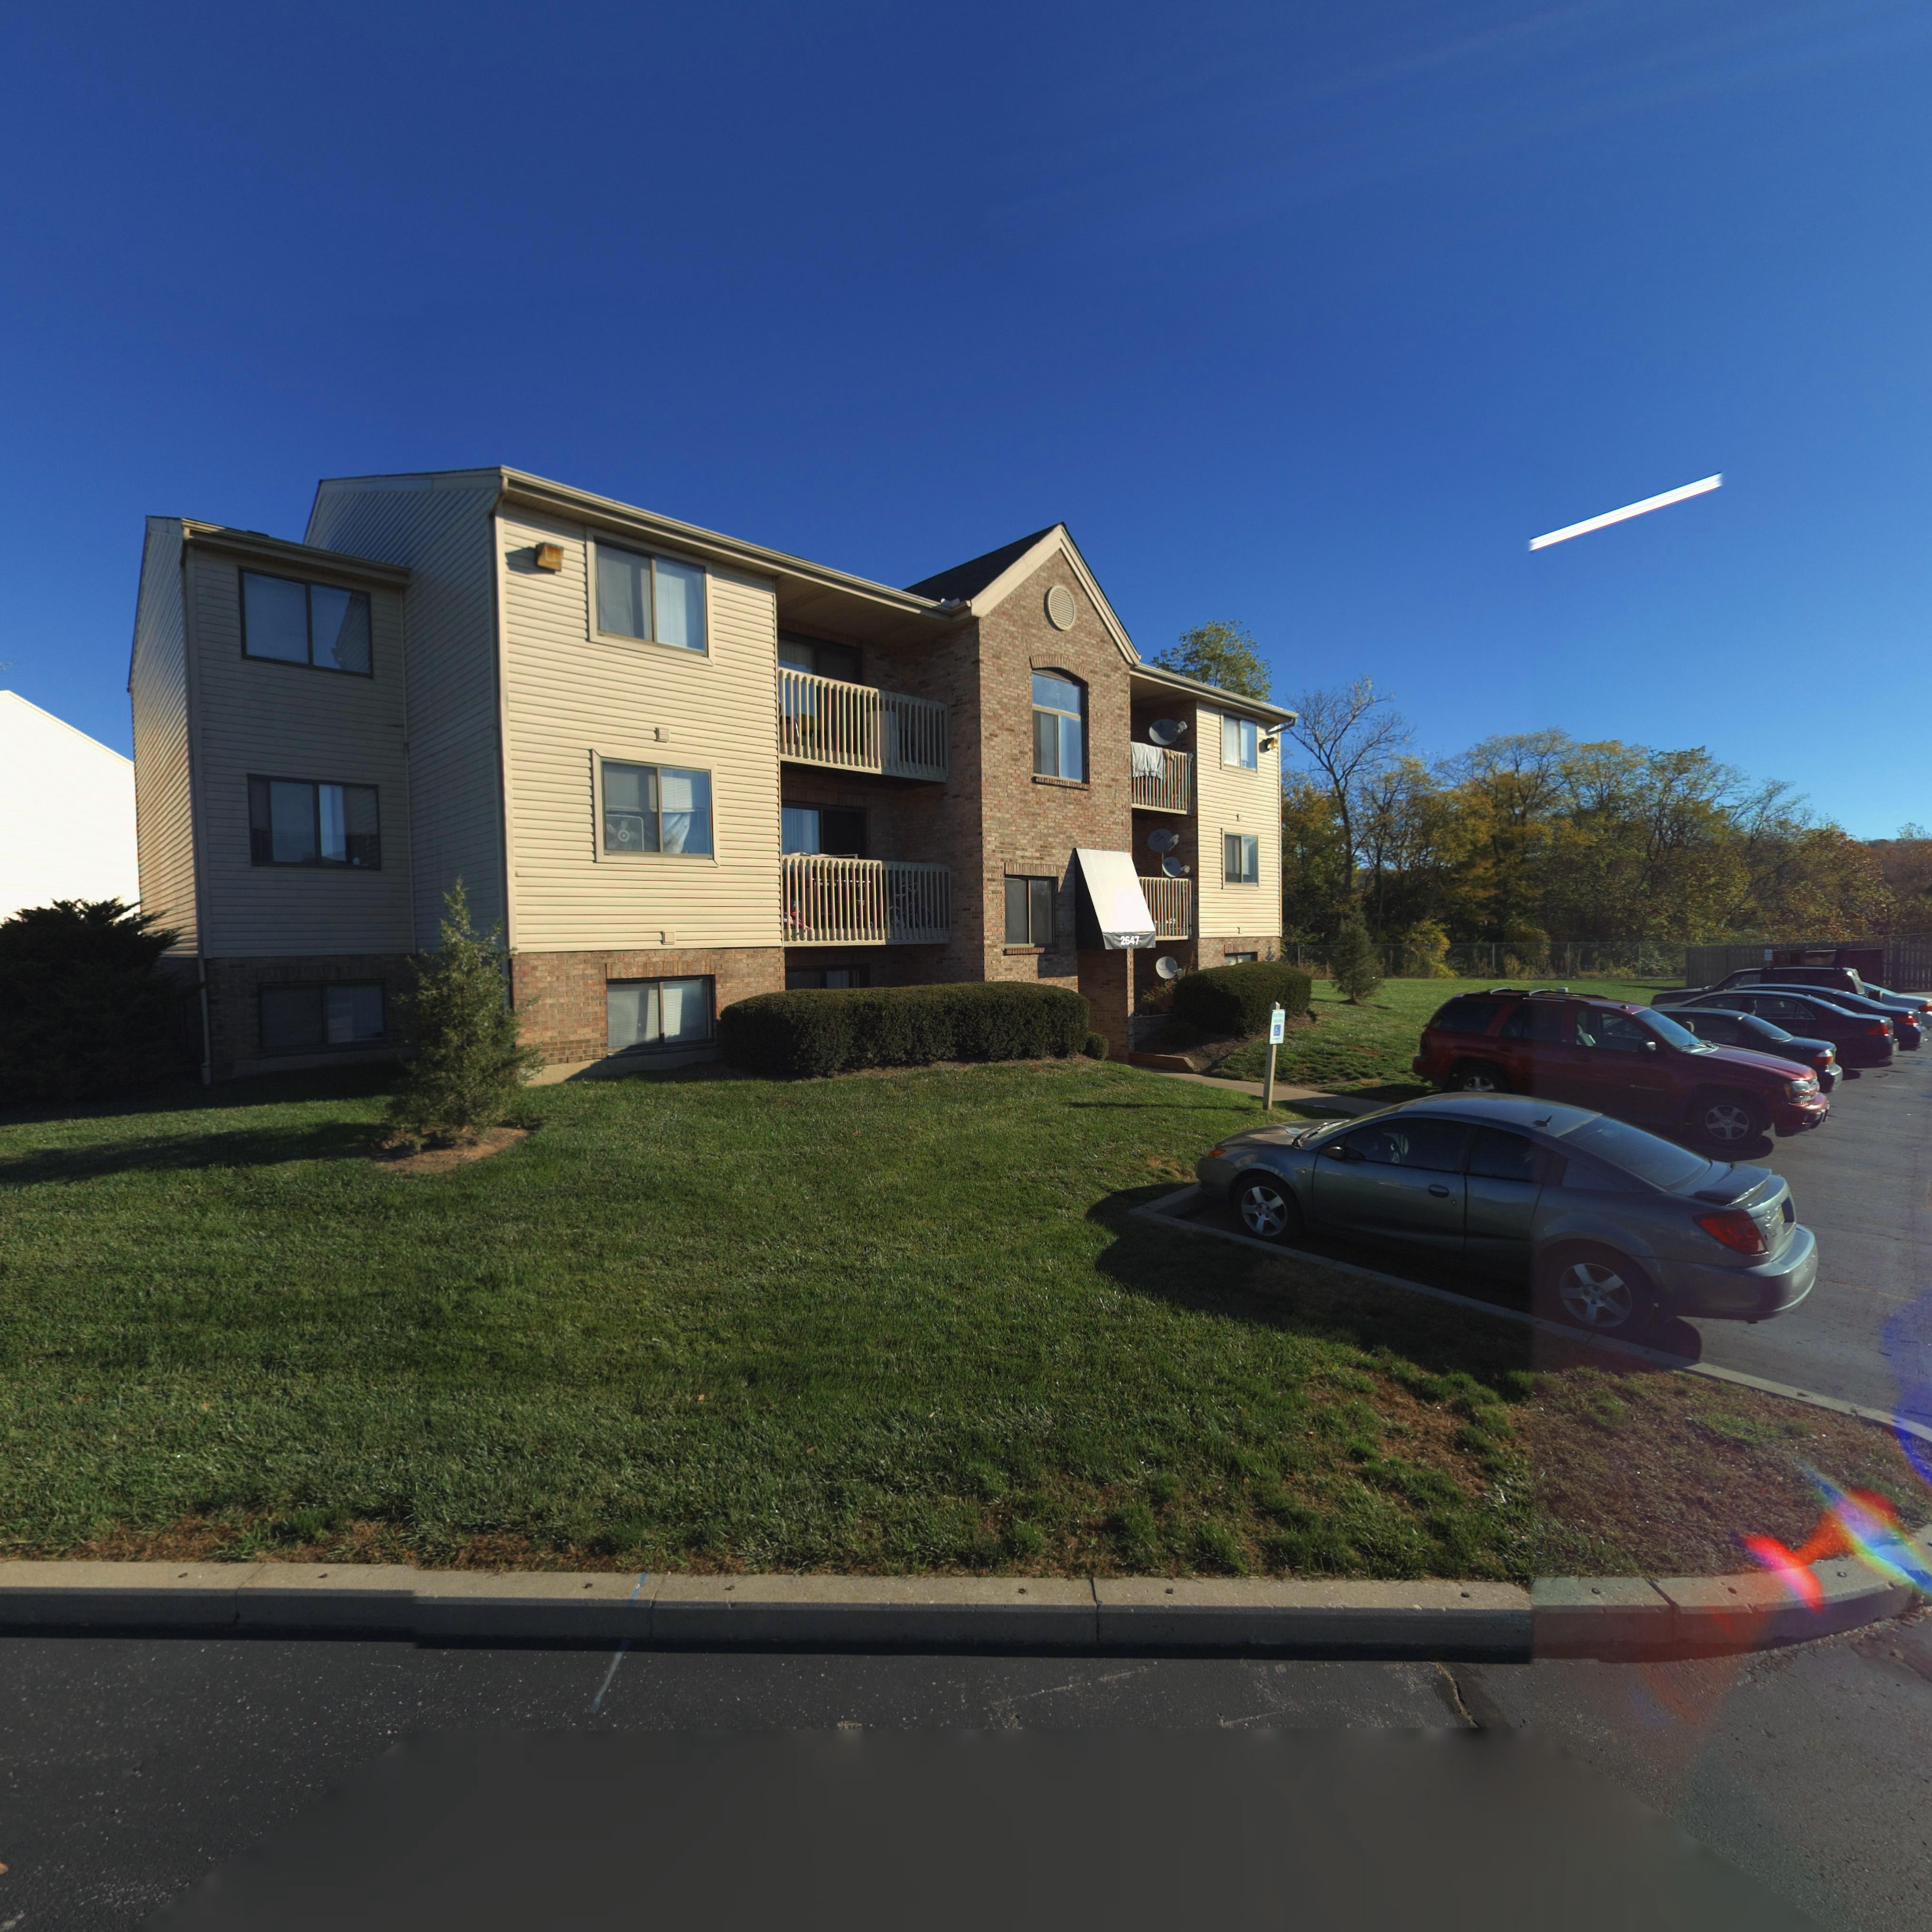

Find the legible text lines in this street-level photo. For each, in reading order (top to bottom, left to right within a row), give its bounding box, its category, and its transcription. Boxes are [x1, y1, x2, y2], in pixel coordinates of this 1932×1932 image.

[1120, 935, 1140, 946] StreetNumber: 2647